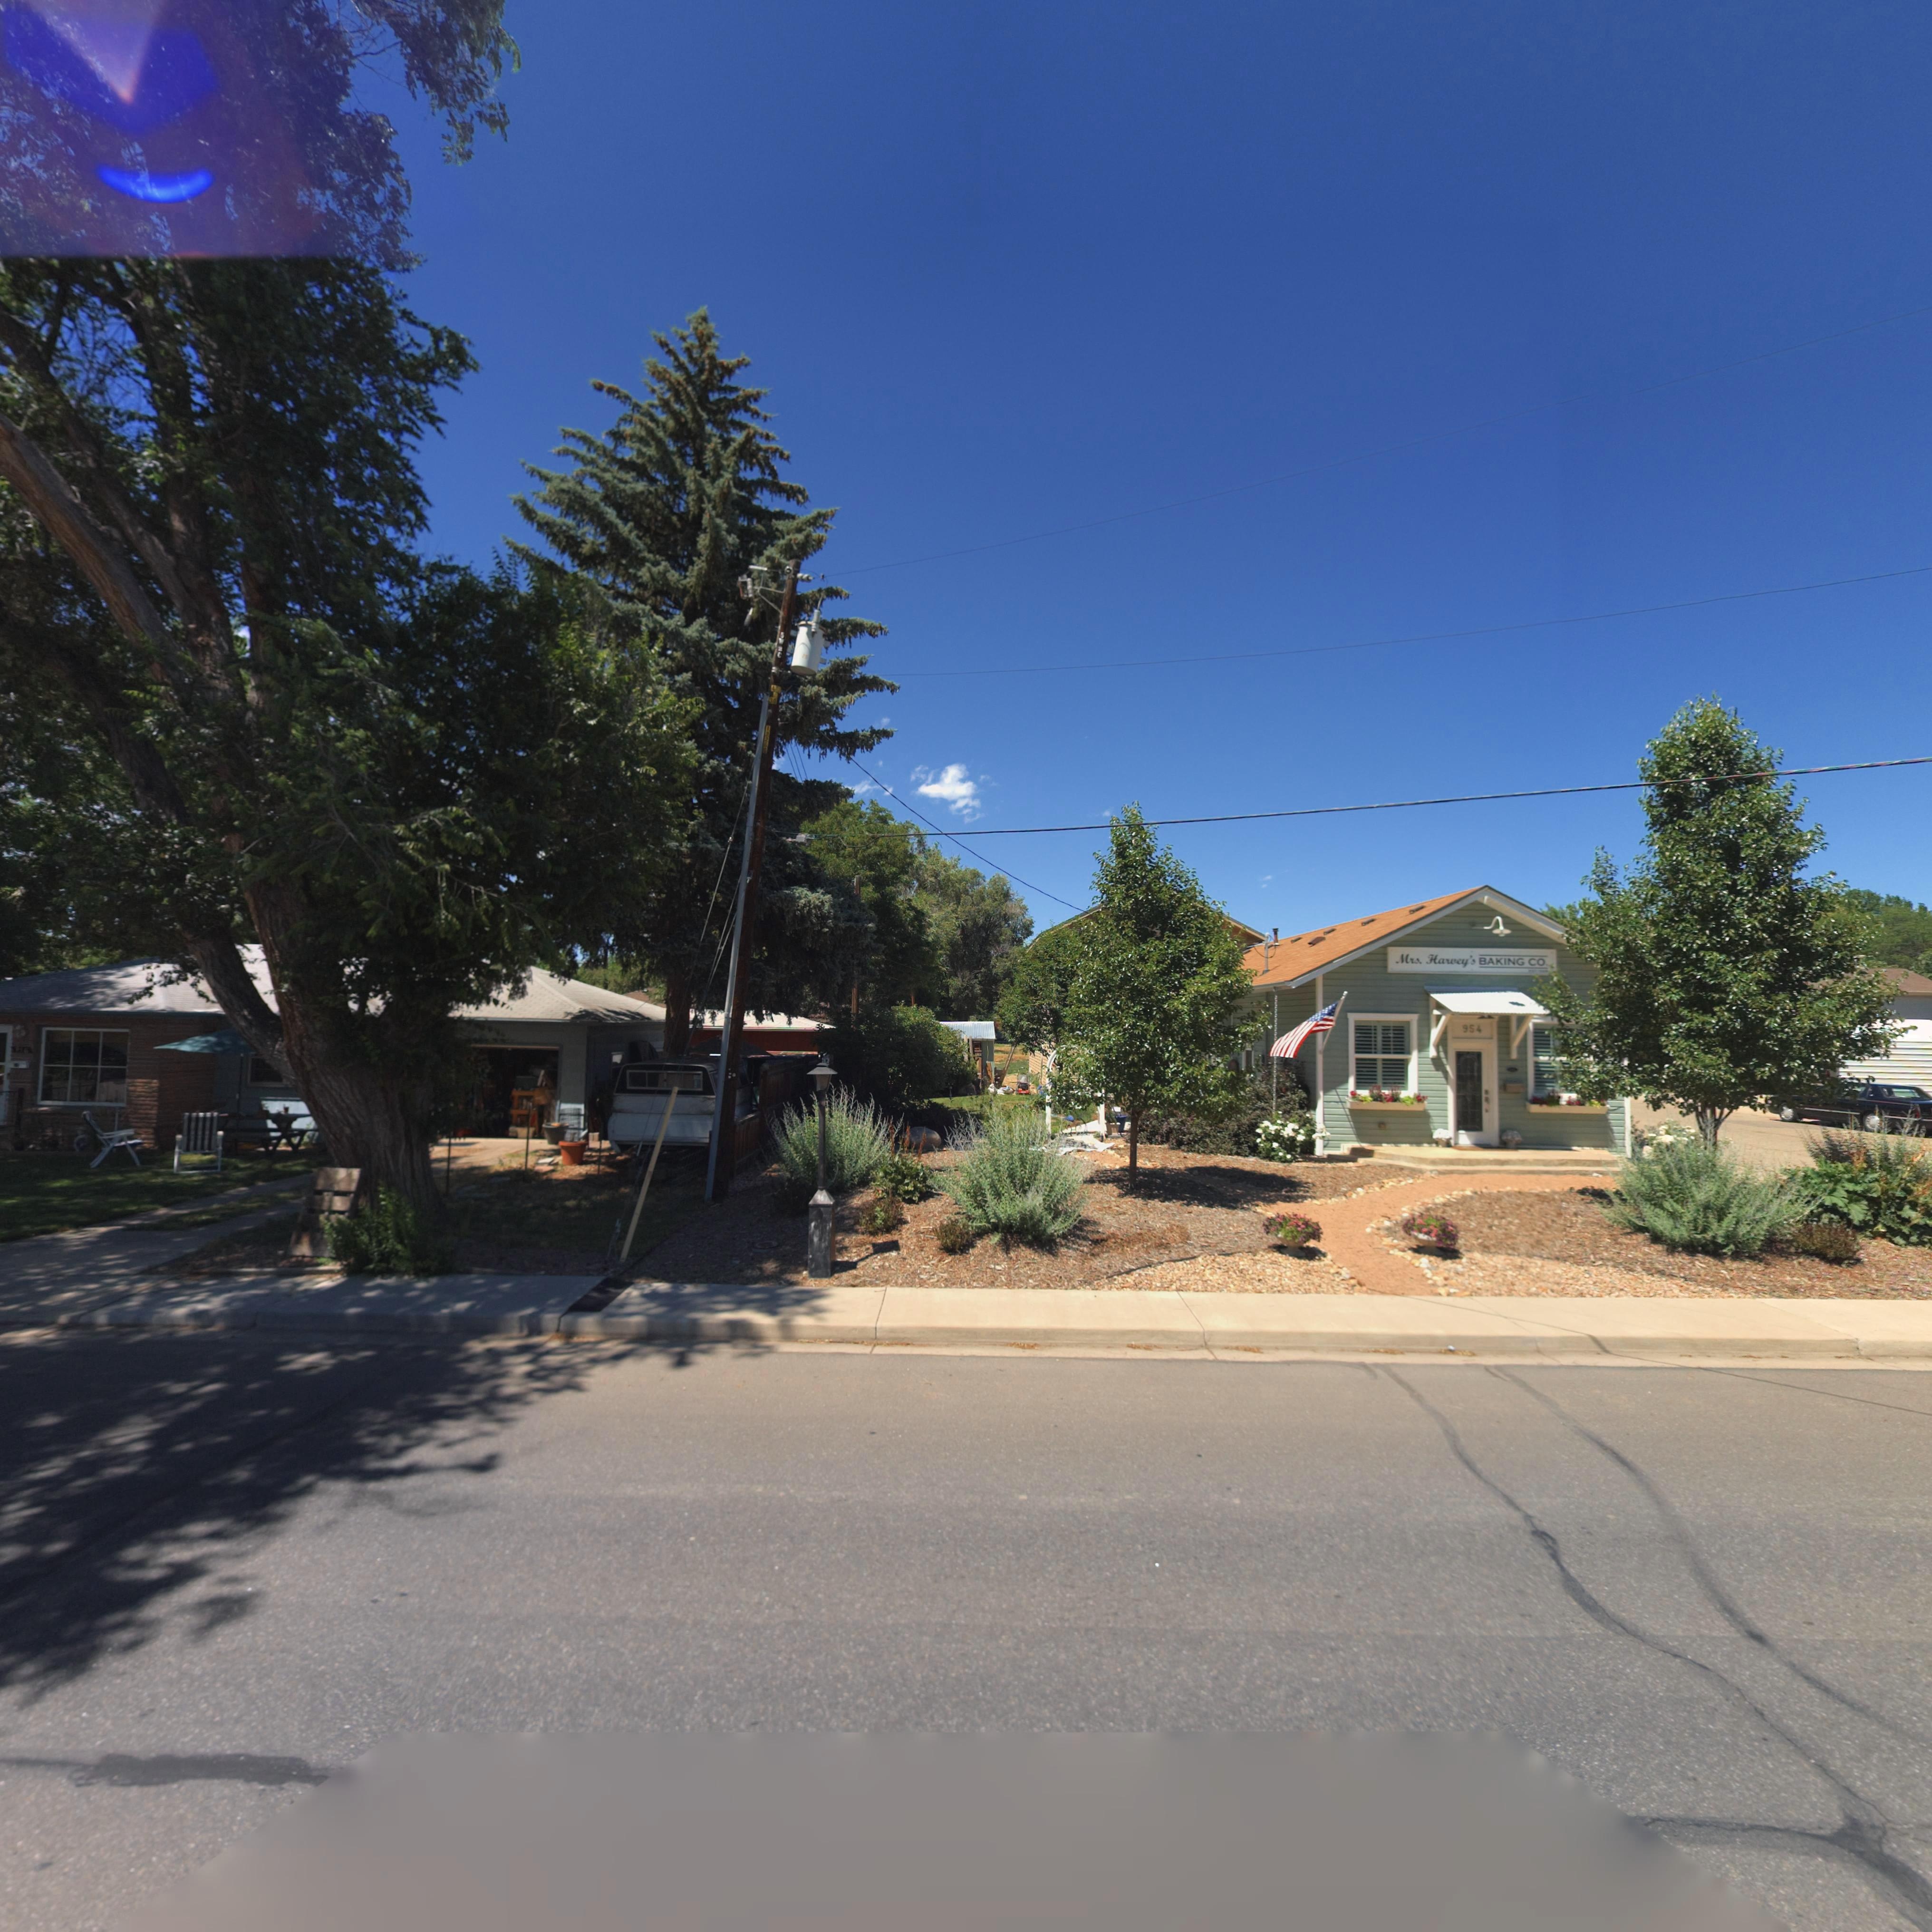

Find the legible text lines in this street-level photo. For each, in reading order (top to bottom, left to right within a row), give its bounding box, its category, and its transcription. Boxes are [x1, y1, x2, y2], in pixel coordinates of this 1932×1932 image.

[1395, 953, 1548, 968] BusinessName: Mrs. Harvey's BAKING CO.
[1461, 1024, 1482, 1033] StreetNumber: 954
[15, 1046, 28, 1053] StreetNumber: *5*